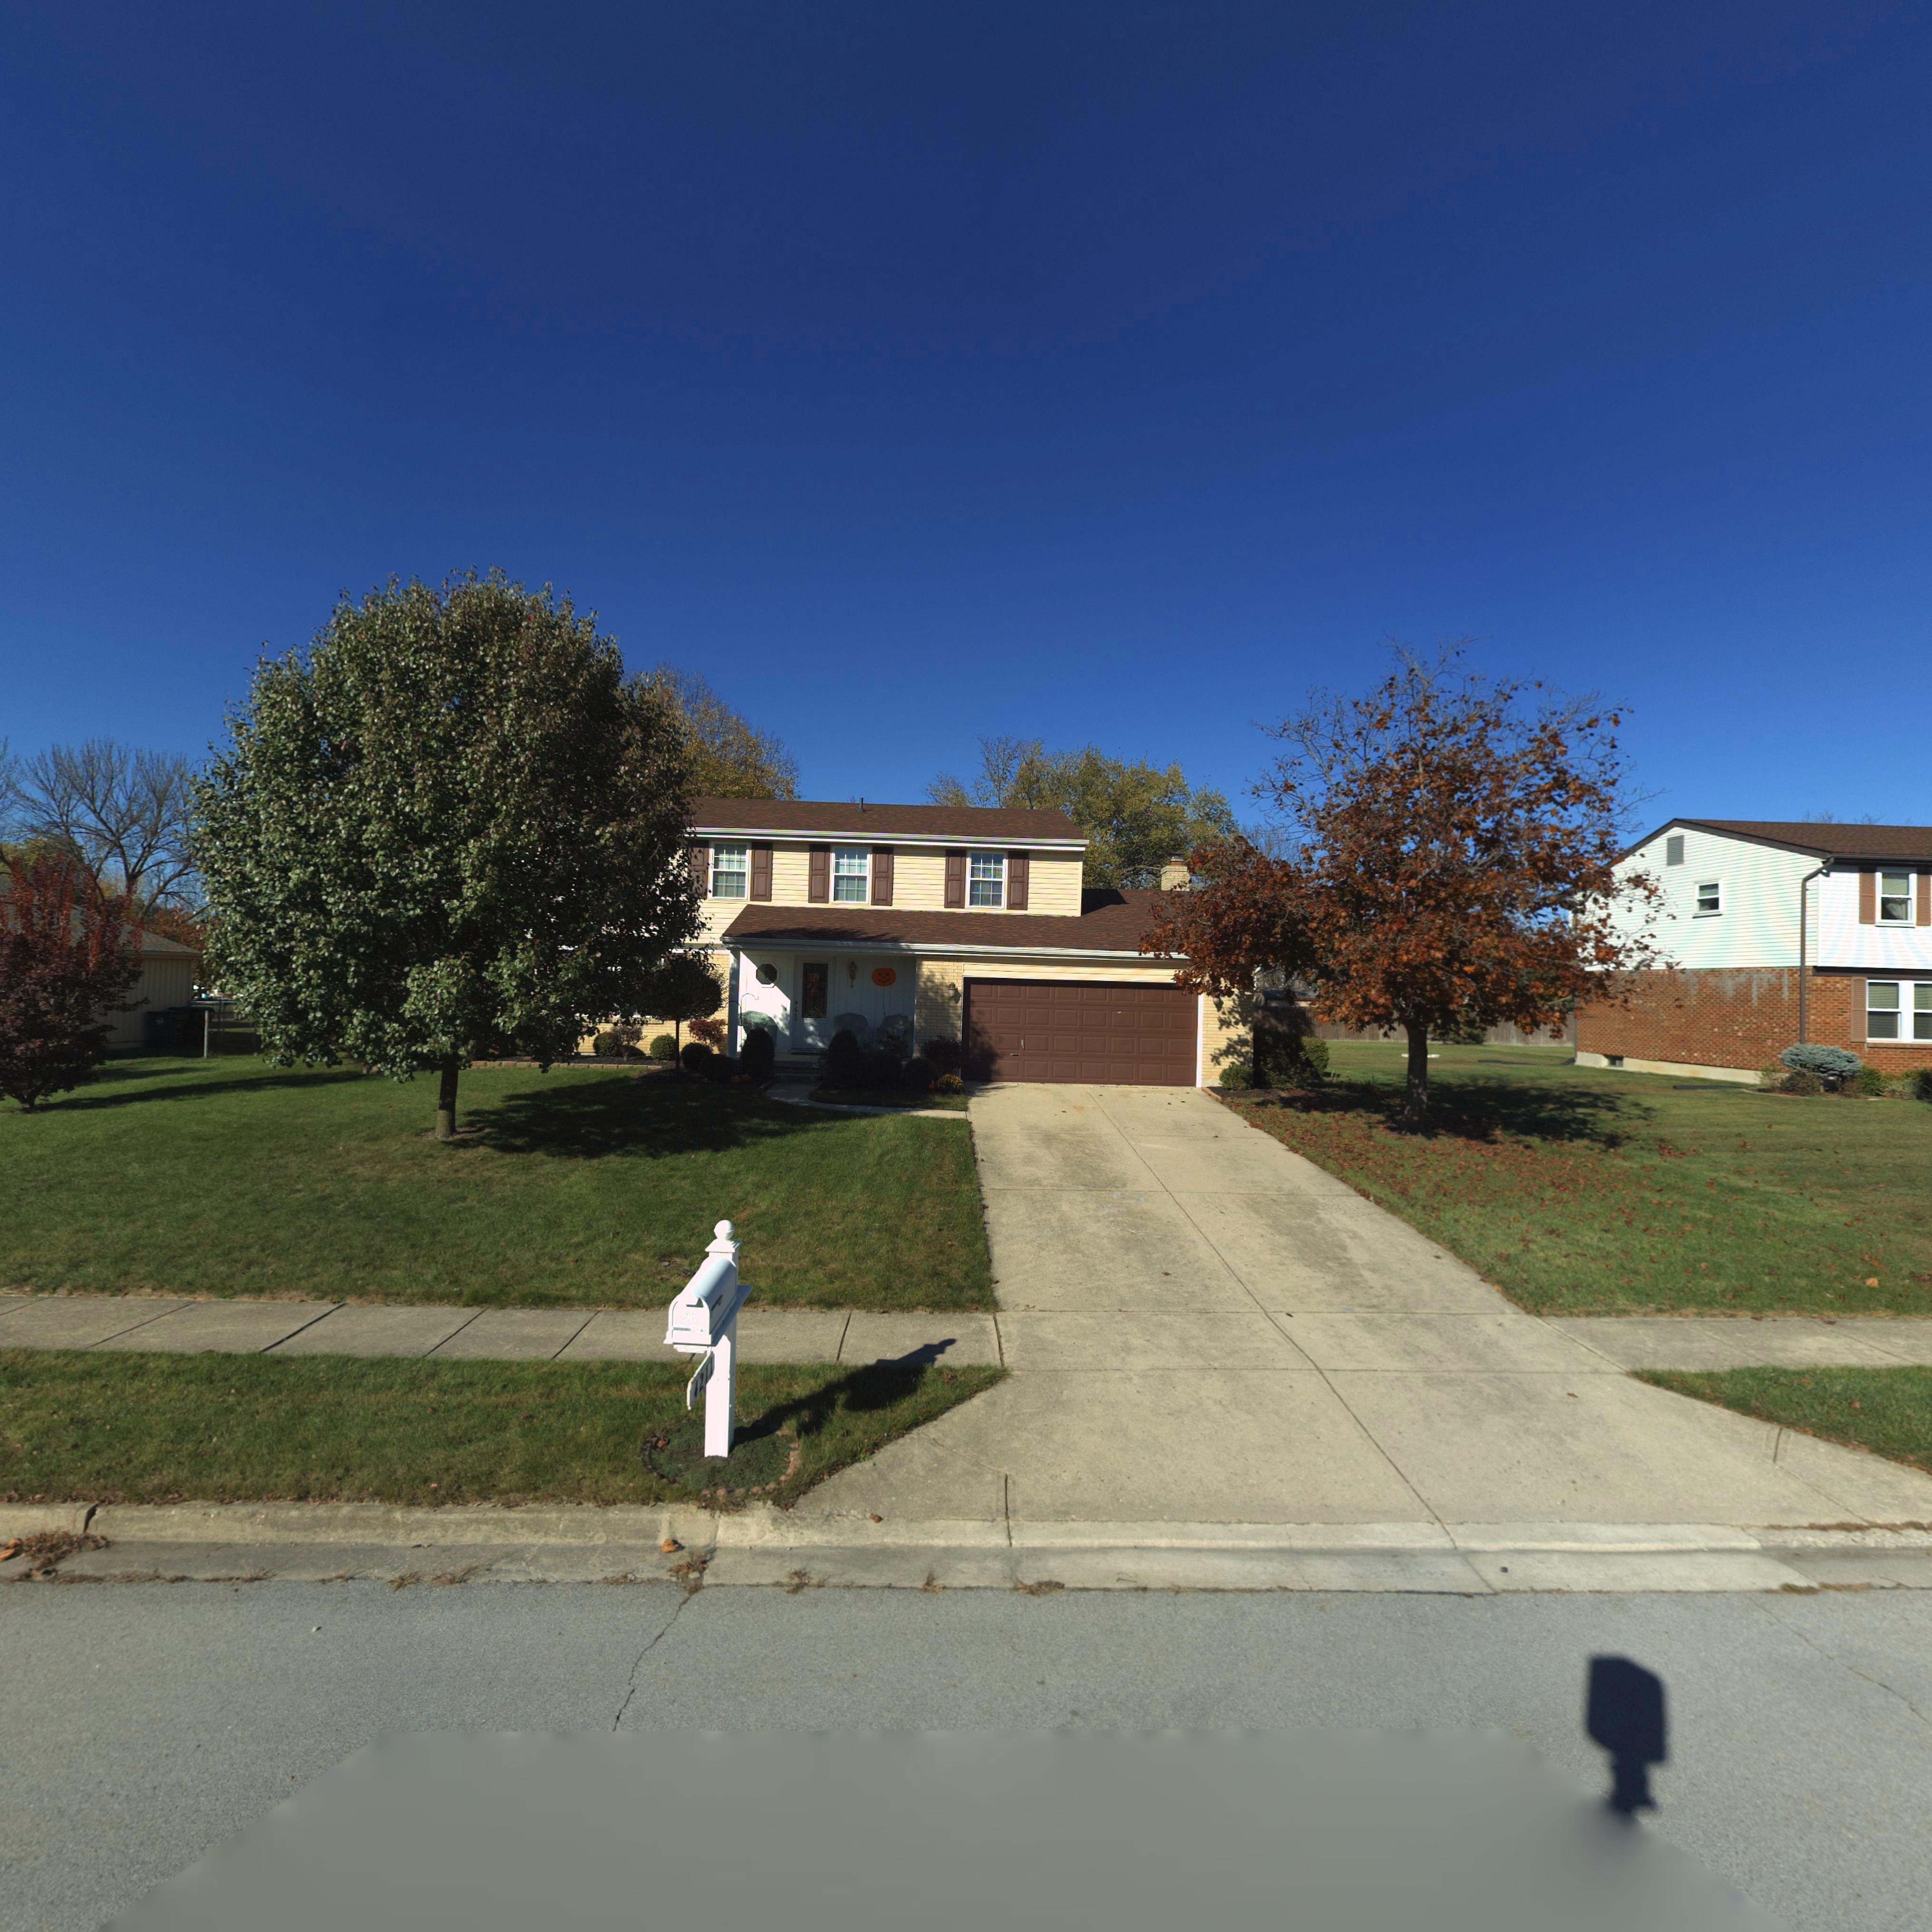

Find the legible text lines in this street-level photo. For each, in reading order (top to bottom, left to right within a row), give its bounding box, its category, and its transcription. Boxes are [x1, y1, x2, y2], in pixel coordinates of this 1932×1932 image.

[693, 1353, 714, 1400] StreetNumber: 4211